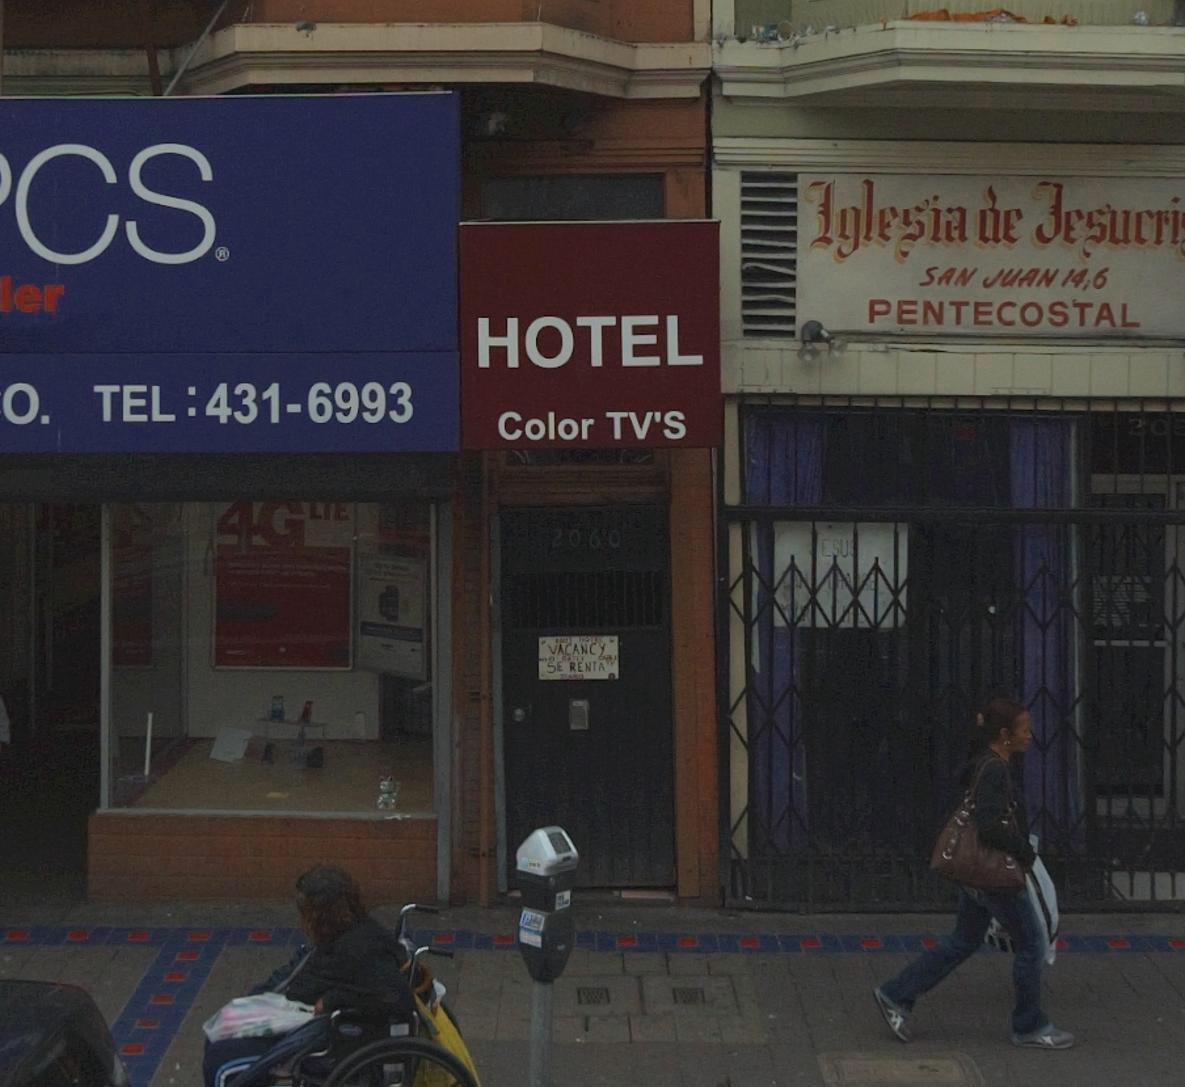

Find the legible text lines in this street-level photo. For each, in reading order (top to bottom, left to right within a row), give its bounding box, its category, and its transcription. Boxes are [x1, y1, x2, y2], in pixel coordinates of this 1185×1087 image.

[14, 141, 219, 267] BusinessName: CS
[801, 176, 1181, 260] BusinessName: Iglesia de Jesucri
[916, 264, 1114, 292] None: SAN JUAN 14*6
[12, 282, 67, 314] None: er
[866, 296, 1142, 329] None: PENTECOSTAL
[474, 312, 705, 370] None: HOTEL
[1, 380, 52, 427] None: O.
[90, 379, 415, 423] None: TEL:431-6993
[496, 408, 688, 442] None: Color TV'S
[1126, 417, 1171, 438] None: 20
[214, 499, 352, 548] None: 4GLTE
[549, 527, 622, 549] StreetNumber: 2060
[821, 537, 849, 558] None: ESU
[543, 659, 607, 674] None: SE*RENTA
[546, 643, 607, 659] None: VACANCY